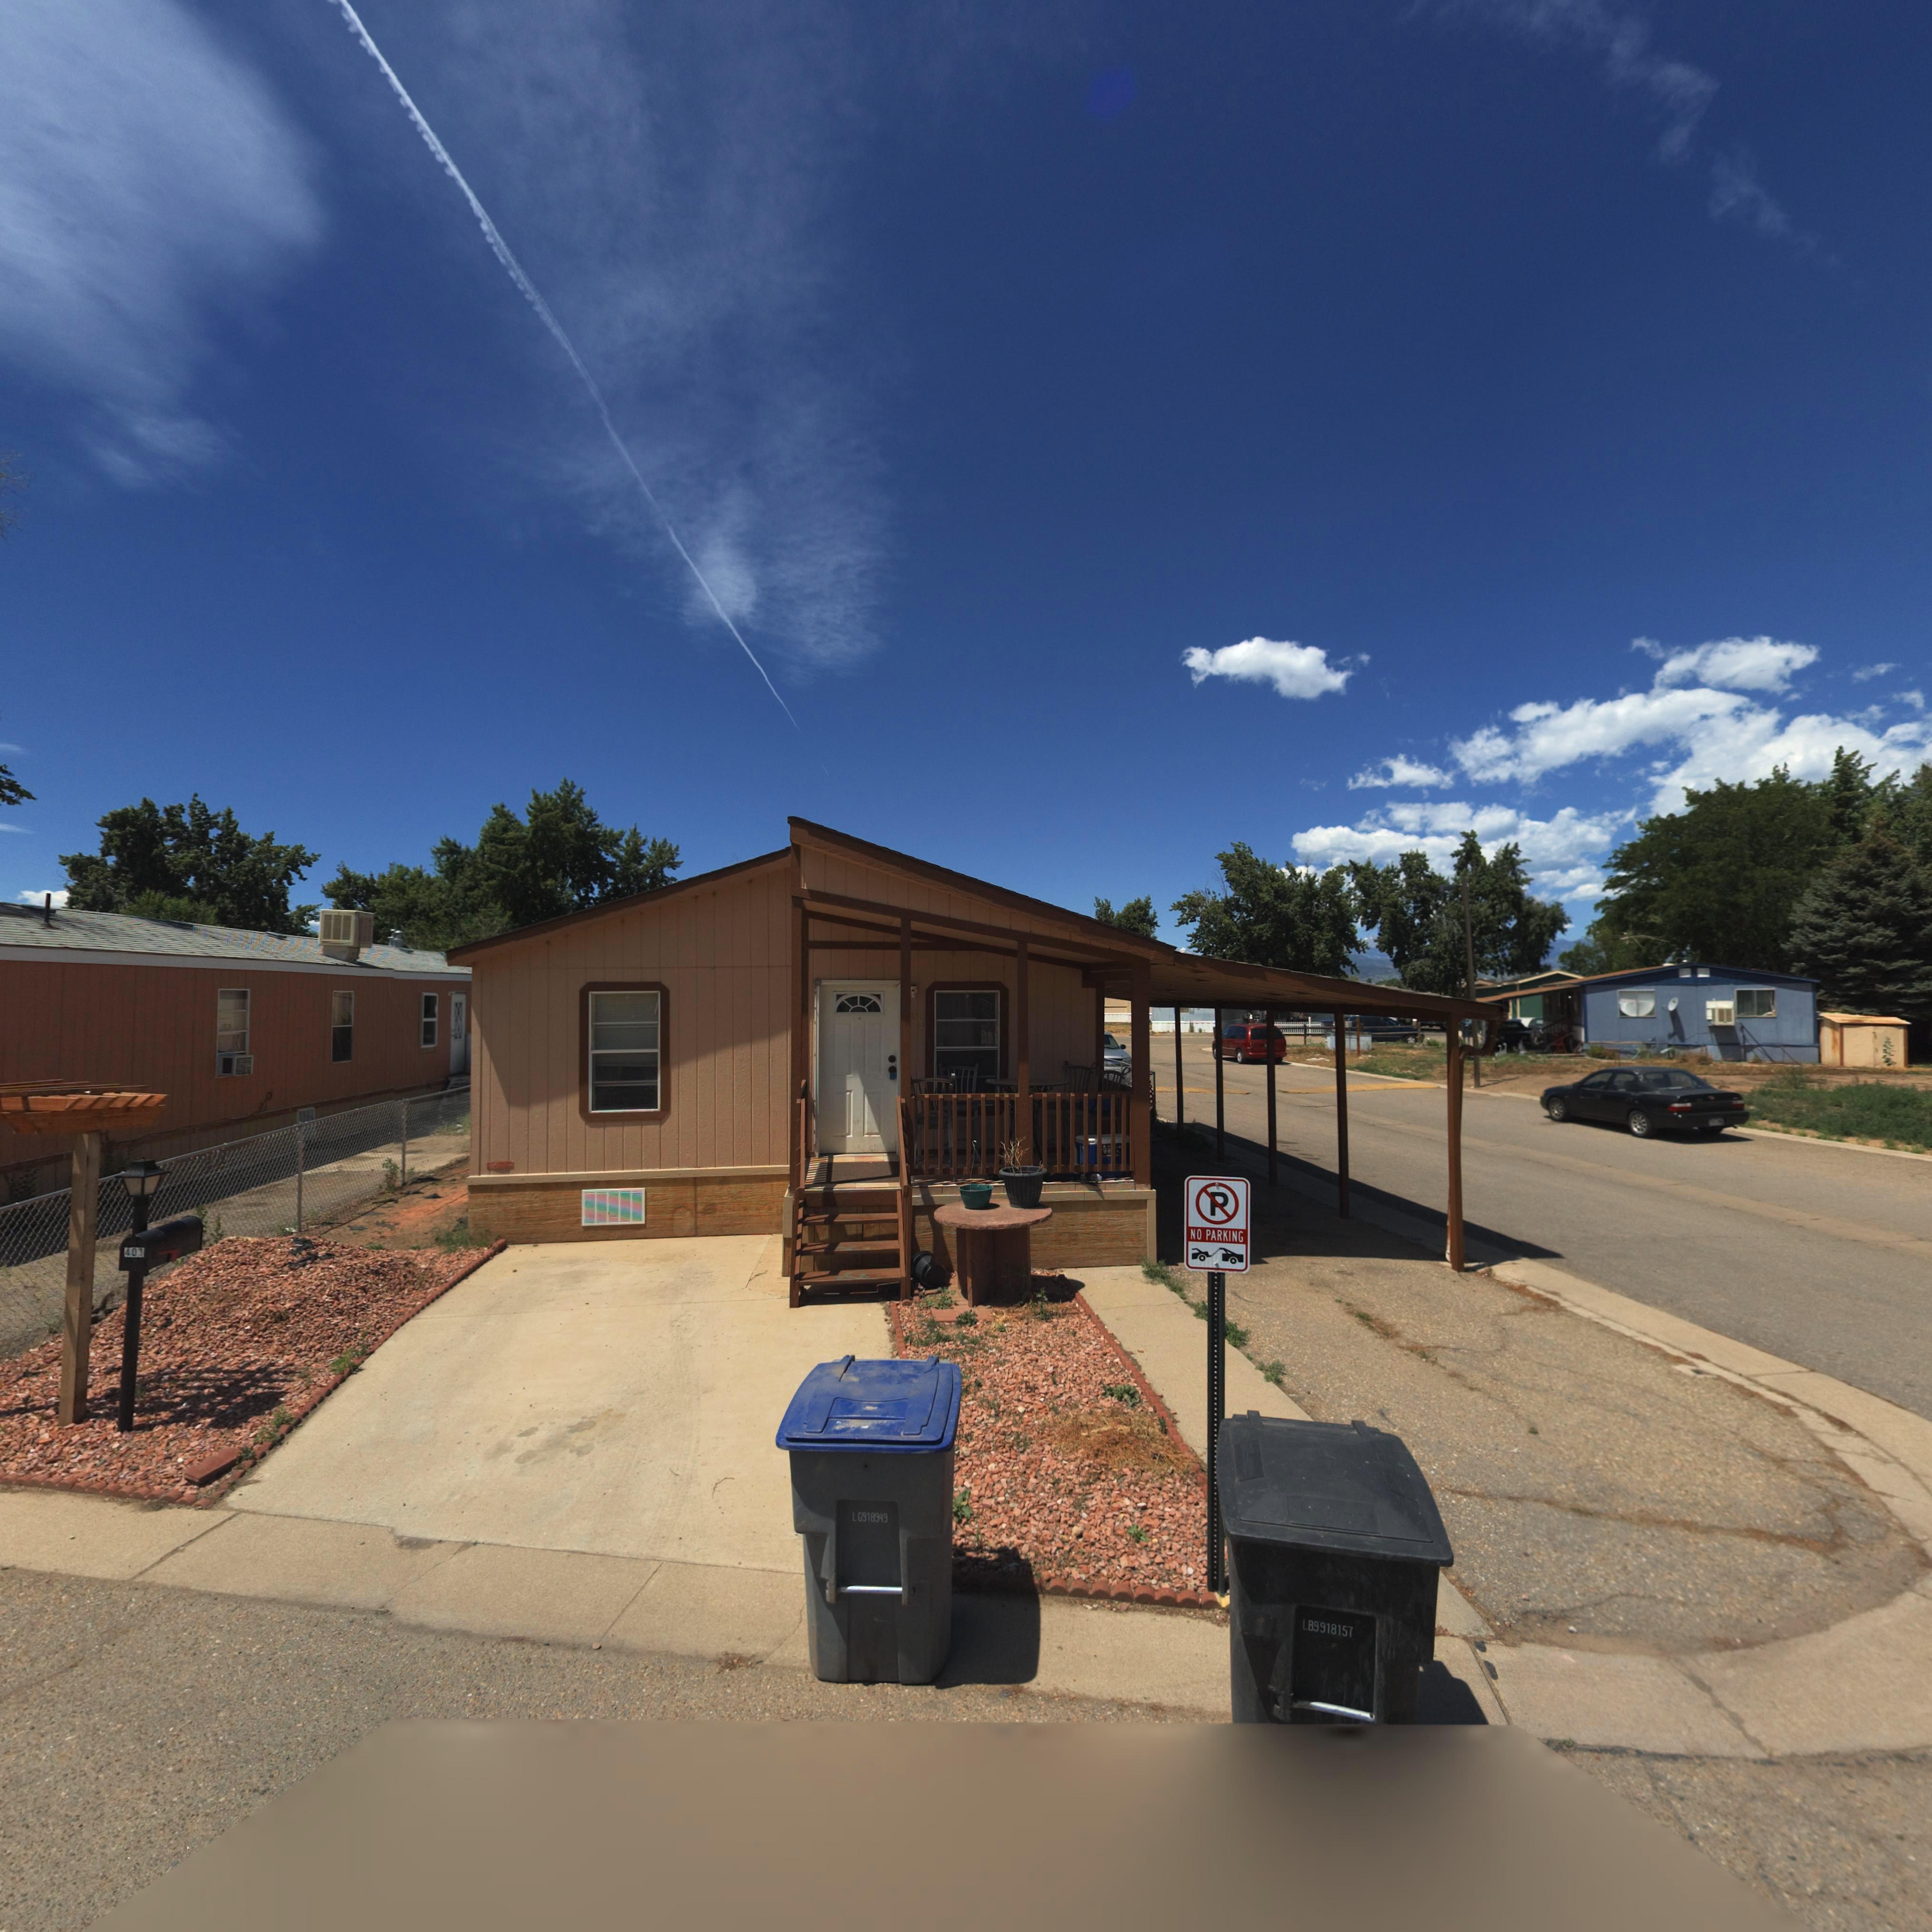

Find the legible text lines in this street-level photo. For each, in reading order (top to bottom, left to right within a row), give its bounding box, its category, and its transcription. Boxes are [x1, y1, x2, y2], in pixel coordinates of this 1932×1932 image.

[907, 1004, 923, 1030] StreetNumber: *03
[124, 1247, 143, 1257] StreetNumber: 403